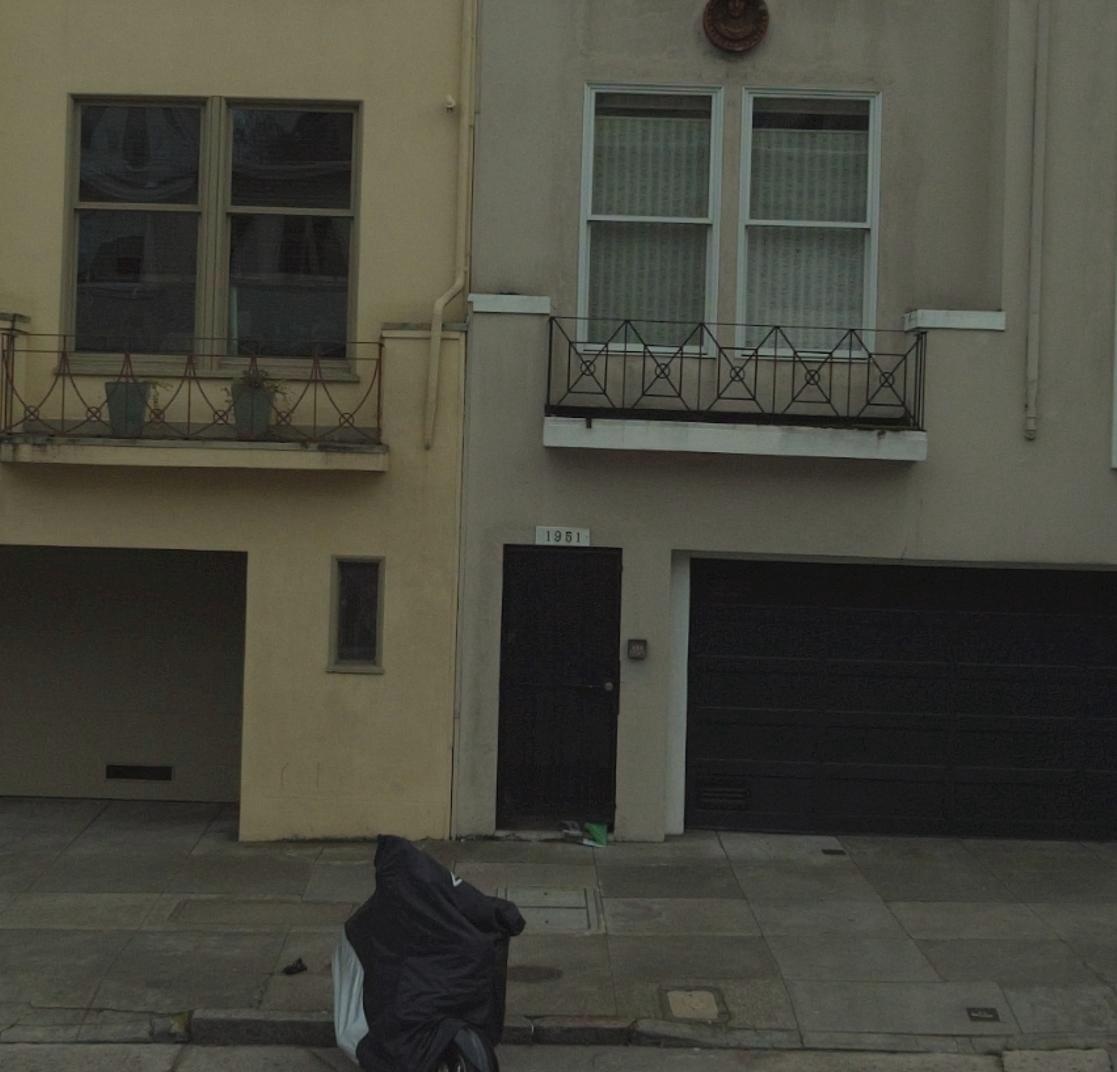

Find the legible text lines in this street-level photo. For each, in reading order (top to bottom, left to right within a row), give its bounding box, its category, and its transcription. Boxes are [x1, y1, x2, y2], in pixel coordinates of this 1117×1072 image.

[545, 529, 582, 544] StreetNumber: 1951